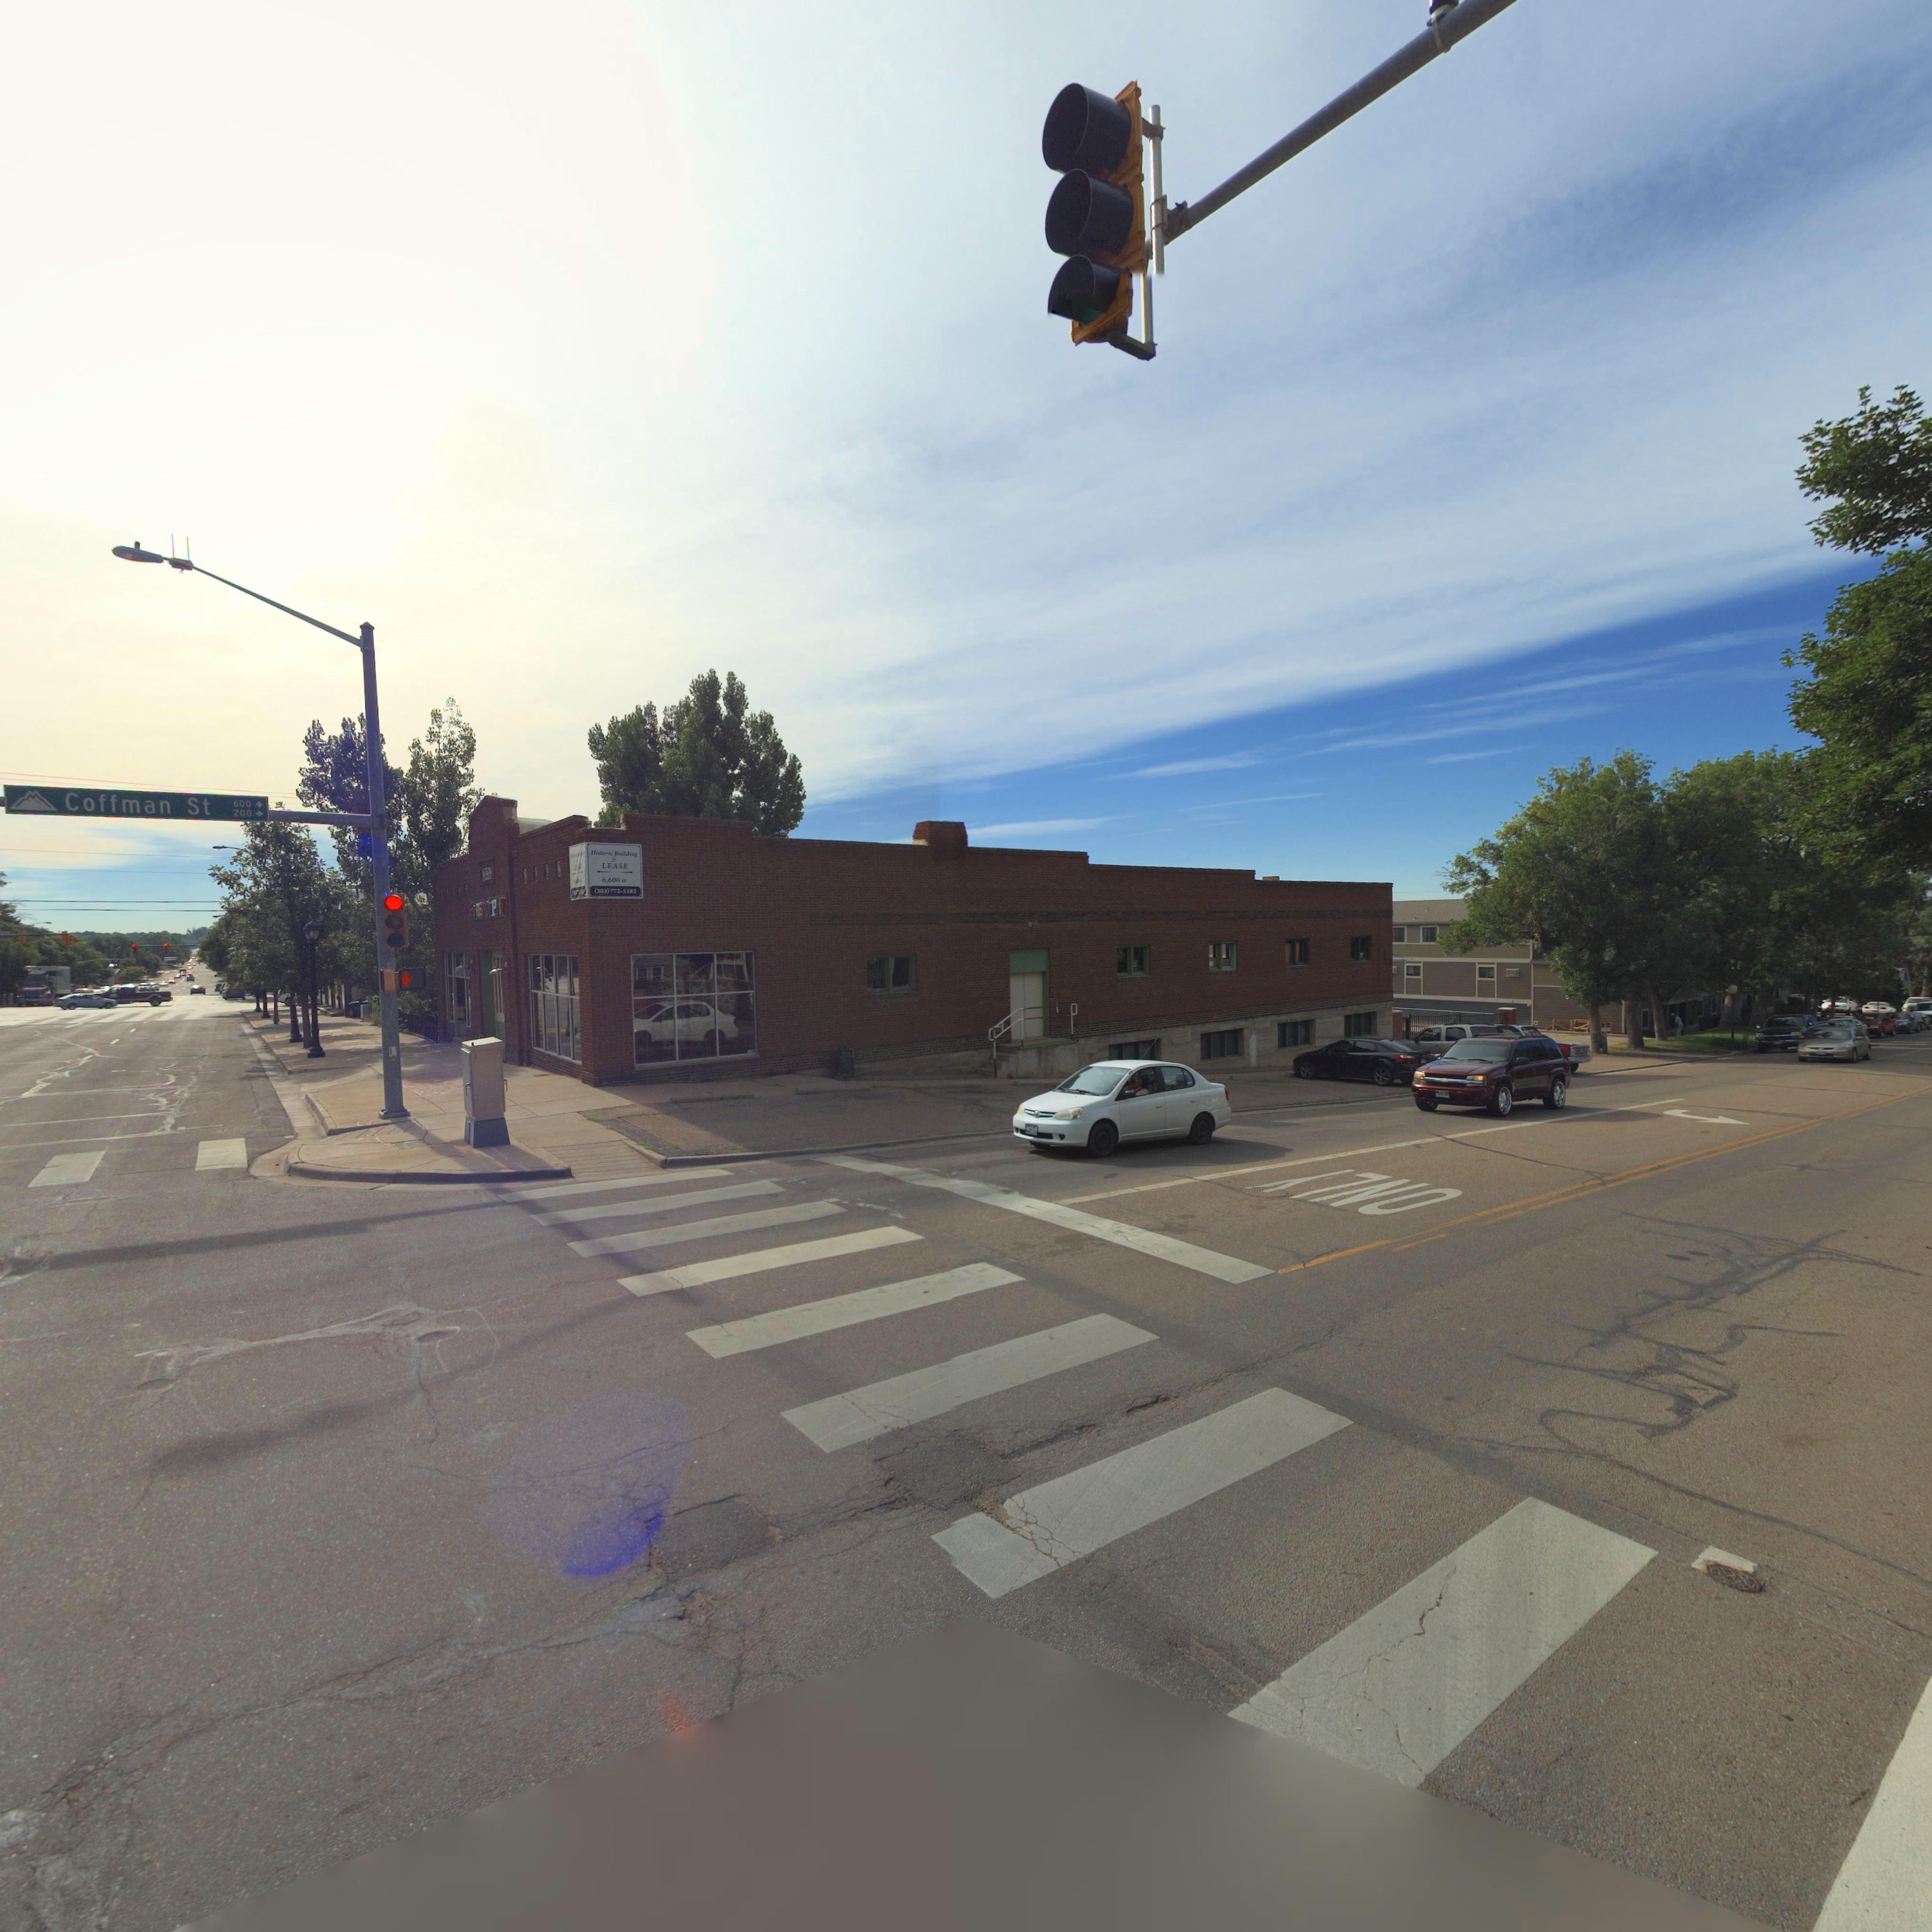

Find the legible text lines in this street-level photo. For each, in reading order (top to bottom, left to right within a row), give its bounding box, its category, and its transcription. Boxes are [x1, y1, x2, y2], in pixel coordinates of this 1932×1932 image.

[65, 792, 210, 814] StreetName: Coffman St
[232, 798, 252, 809] StreetNumber: 600
[232, 808, 266, 818] StreetNumberRange: 200->
[466, 895, 506, 918] BusinessName: SeREM**PI*Y